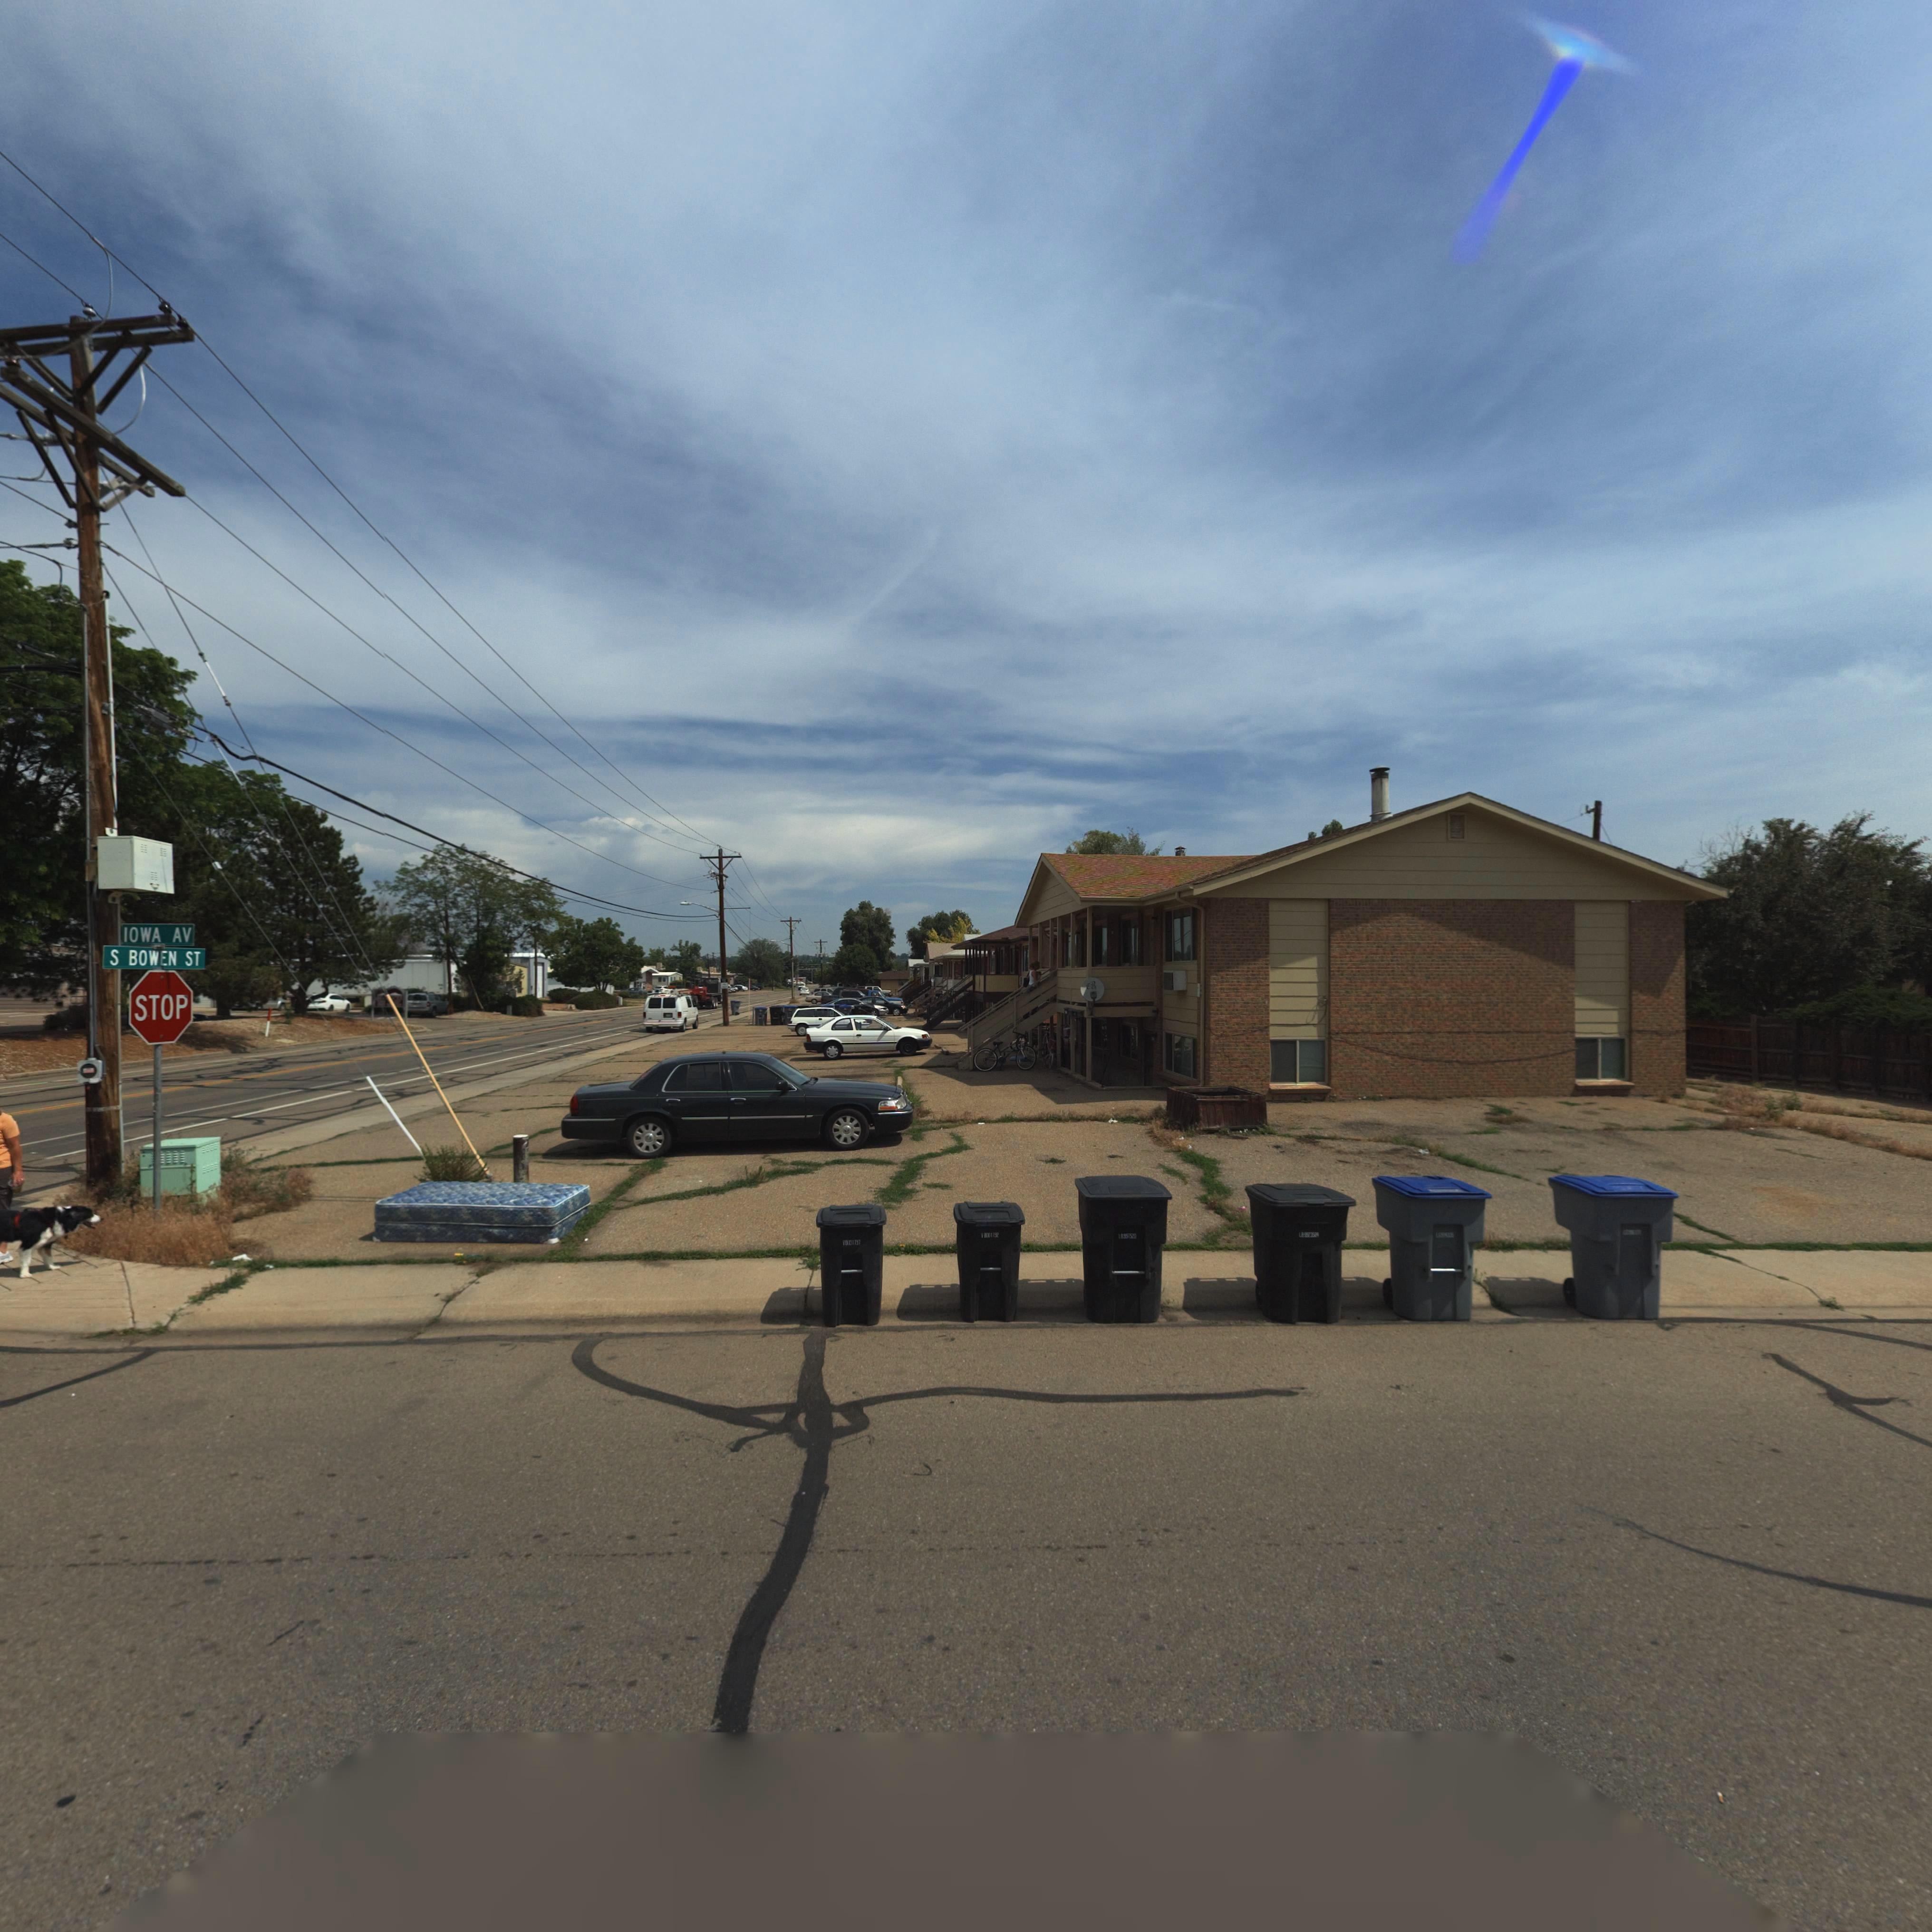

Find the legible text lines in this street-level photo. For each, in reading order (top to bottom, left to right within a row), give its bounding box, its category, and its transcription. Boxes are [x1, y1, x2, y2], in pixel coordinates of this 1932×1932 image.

[123, 926, 193, 944] StreetName: IOWA AV
[109, 948, 201, 966] StreetName: S BOWEN ST